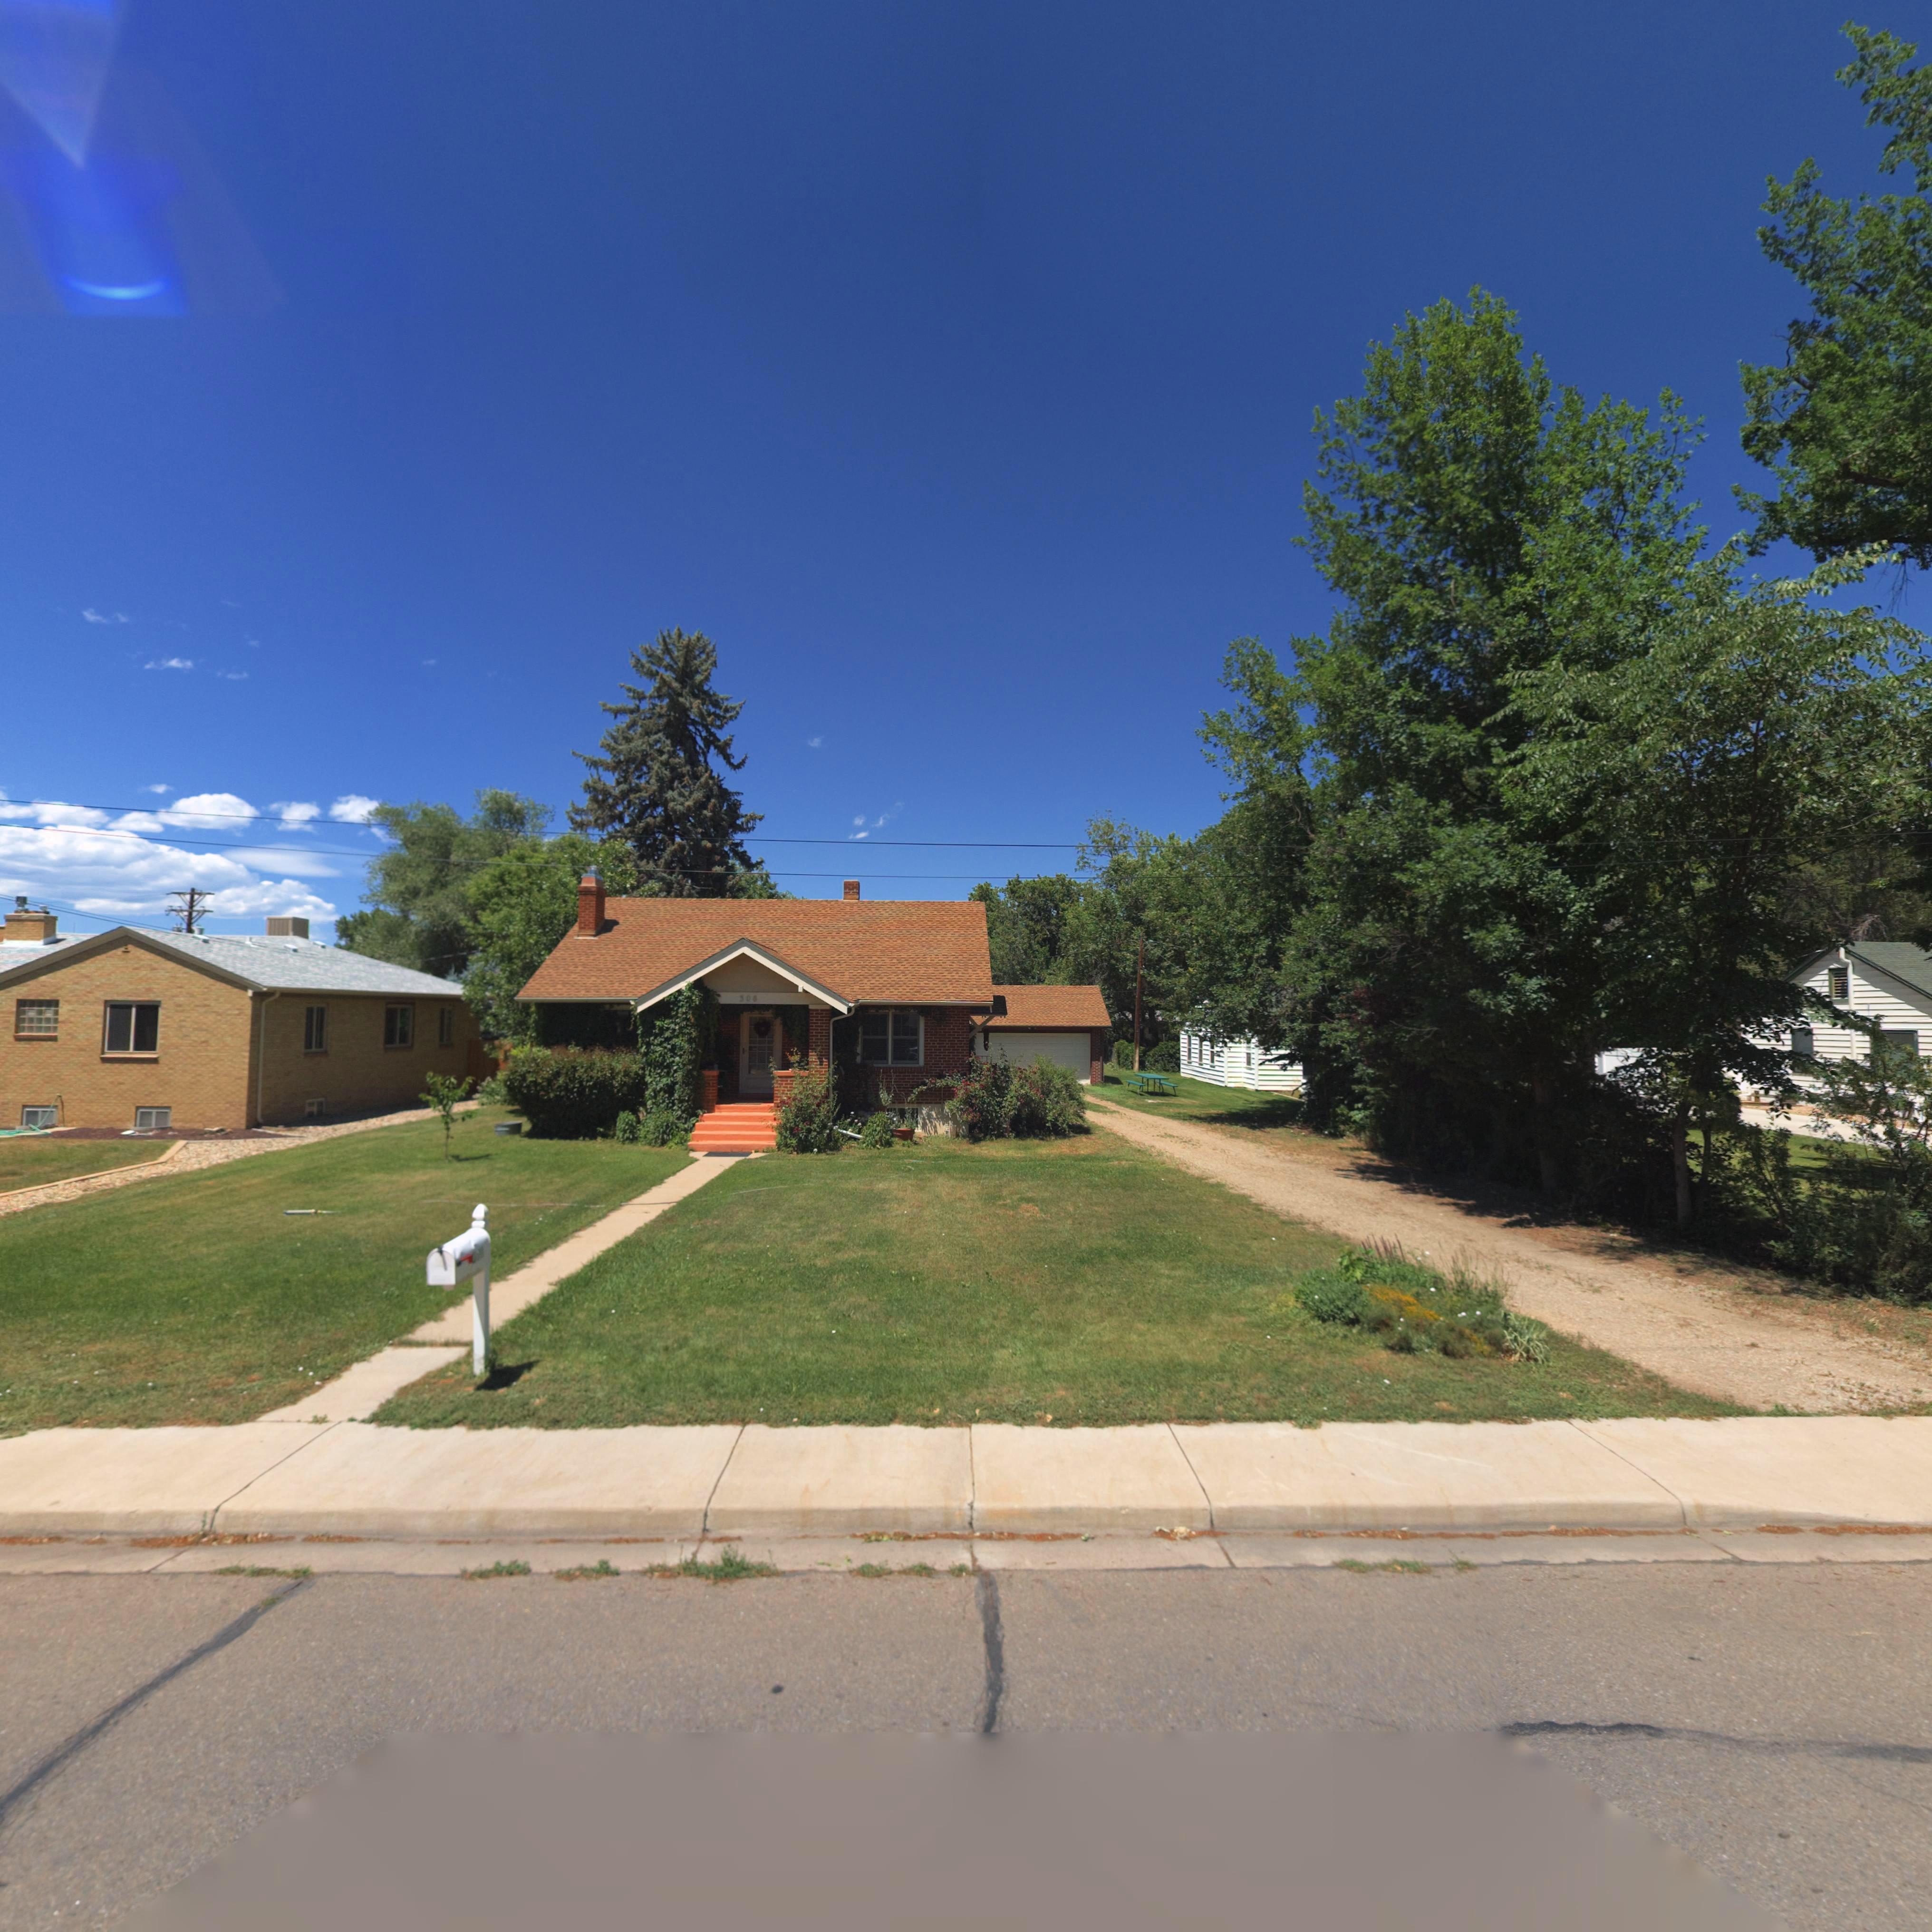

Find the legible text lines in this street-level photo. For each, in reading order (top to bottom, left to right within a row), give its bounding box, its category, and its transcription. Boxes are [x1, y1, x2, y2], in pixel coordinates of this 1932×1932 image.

[739, 995, 757, 1002] StreetNumber: 308